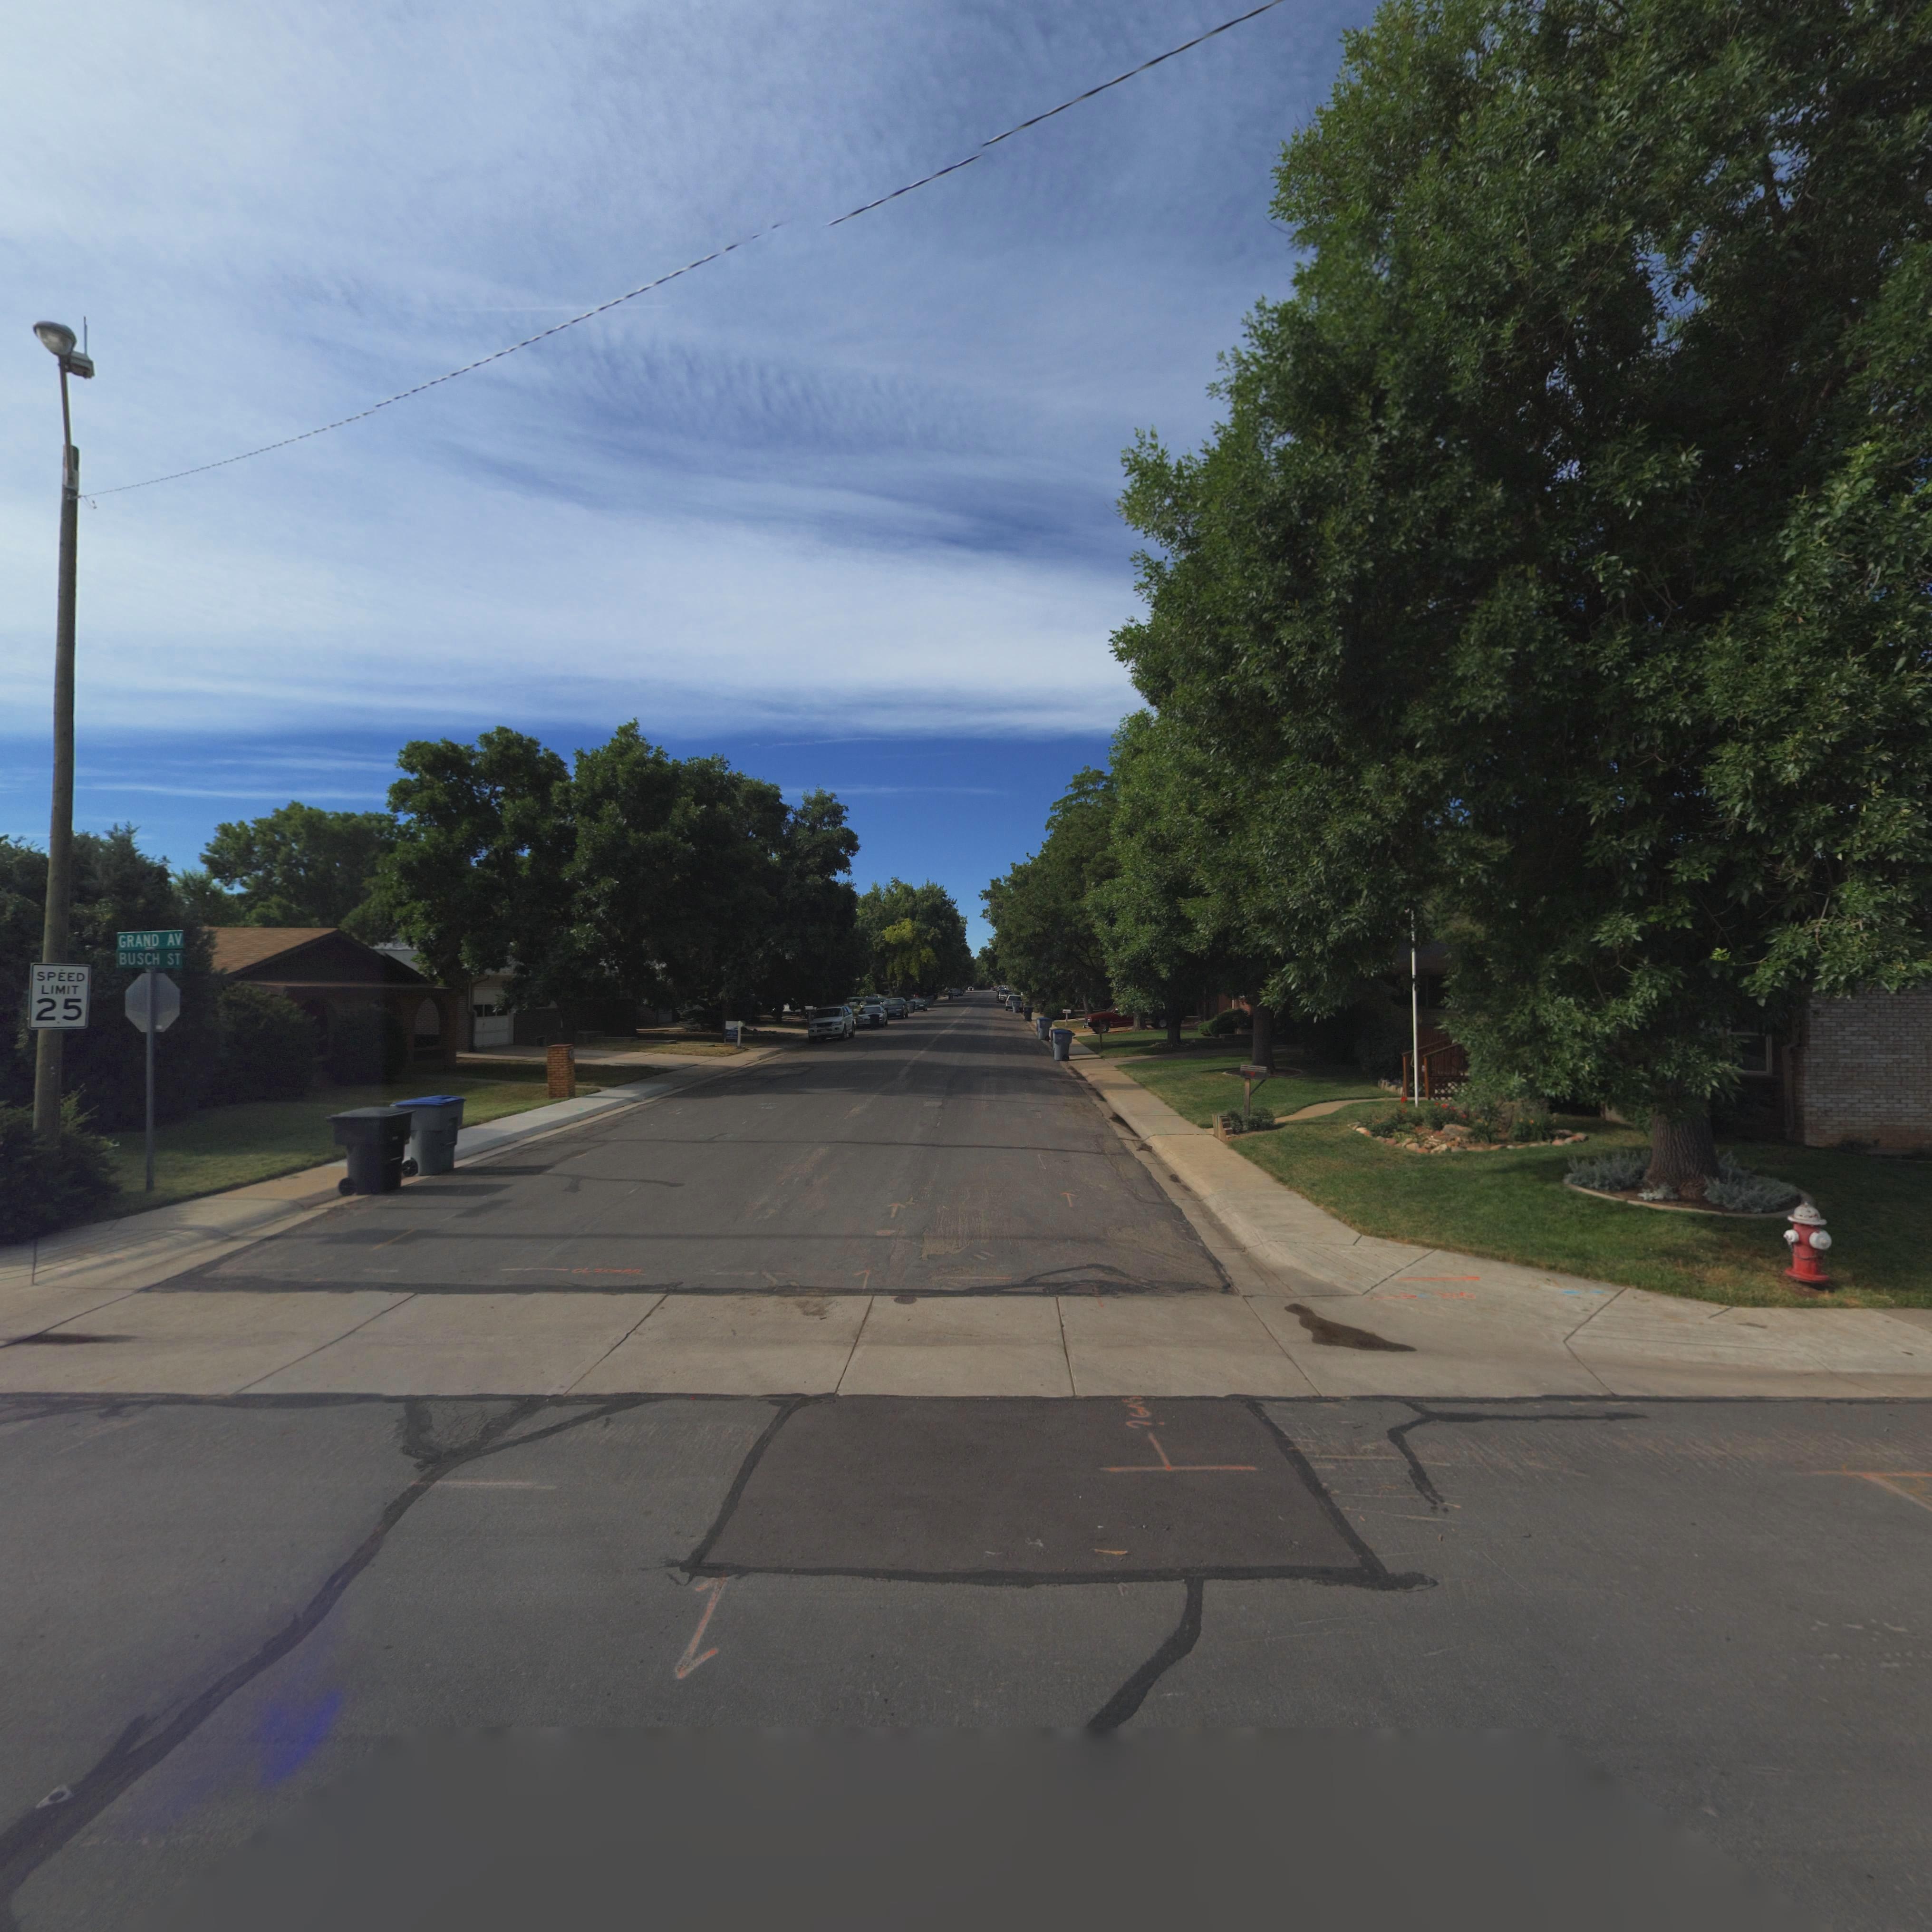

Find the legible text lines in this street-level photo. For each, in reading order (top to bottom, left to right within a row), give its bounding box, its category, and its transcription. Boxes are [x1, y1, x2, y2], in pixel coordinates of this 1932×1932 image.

[118, 932, 183, 948] StreetName: GRAND AV
[118, 951, 181, 966] StreetName: BUSCH